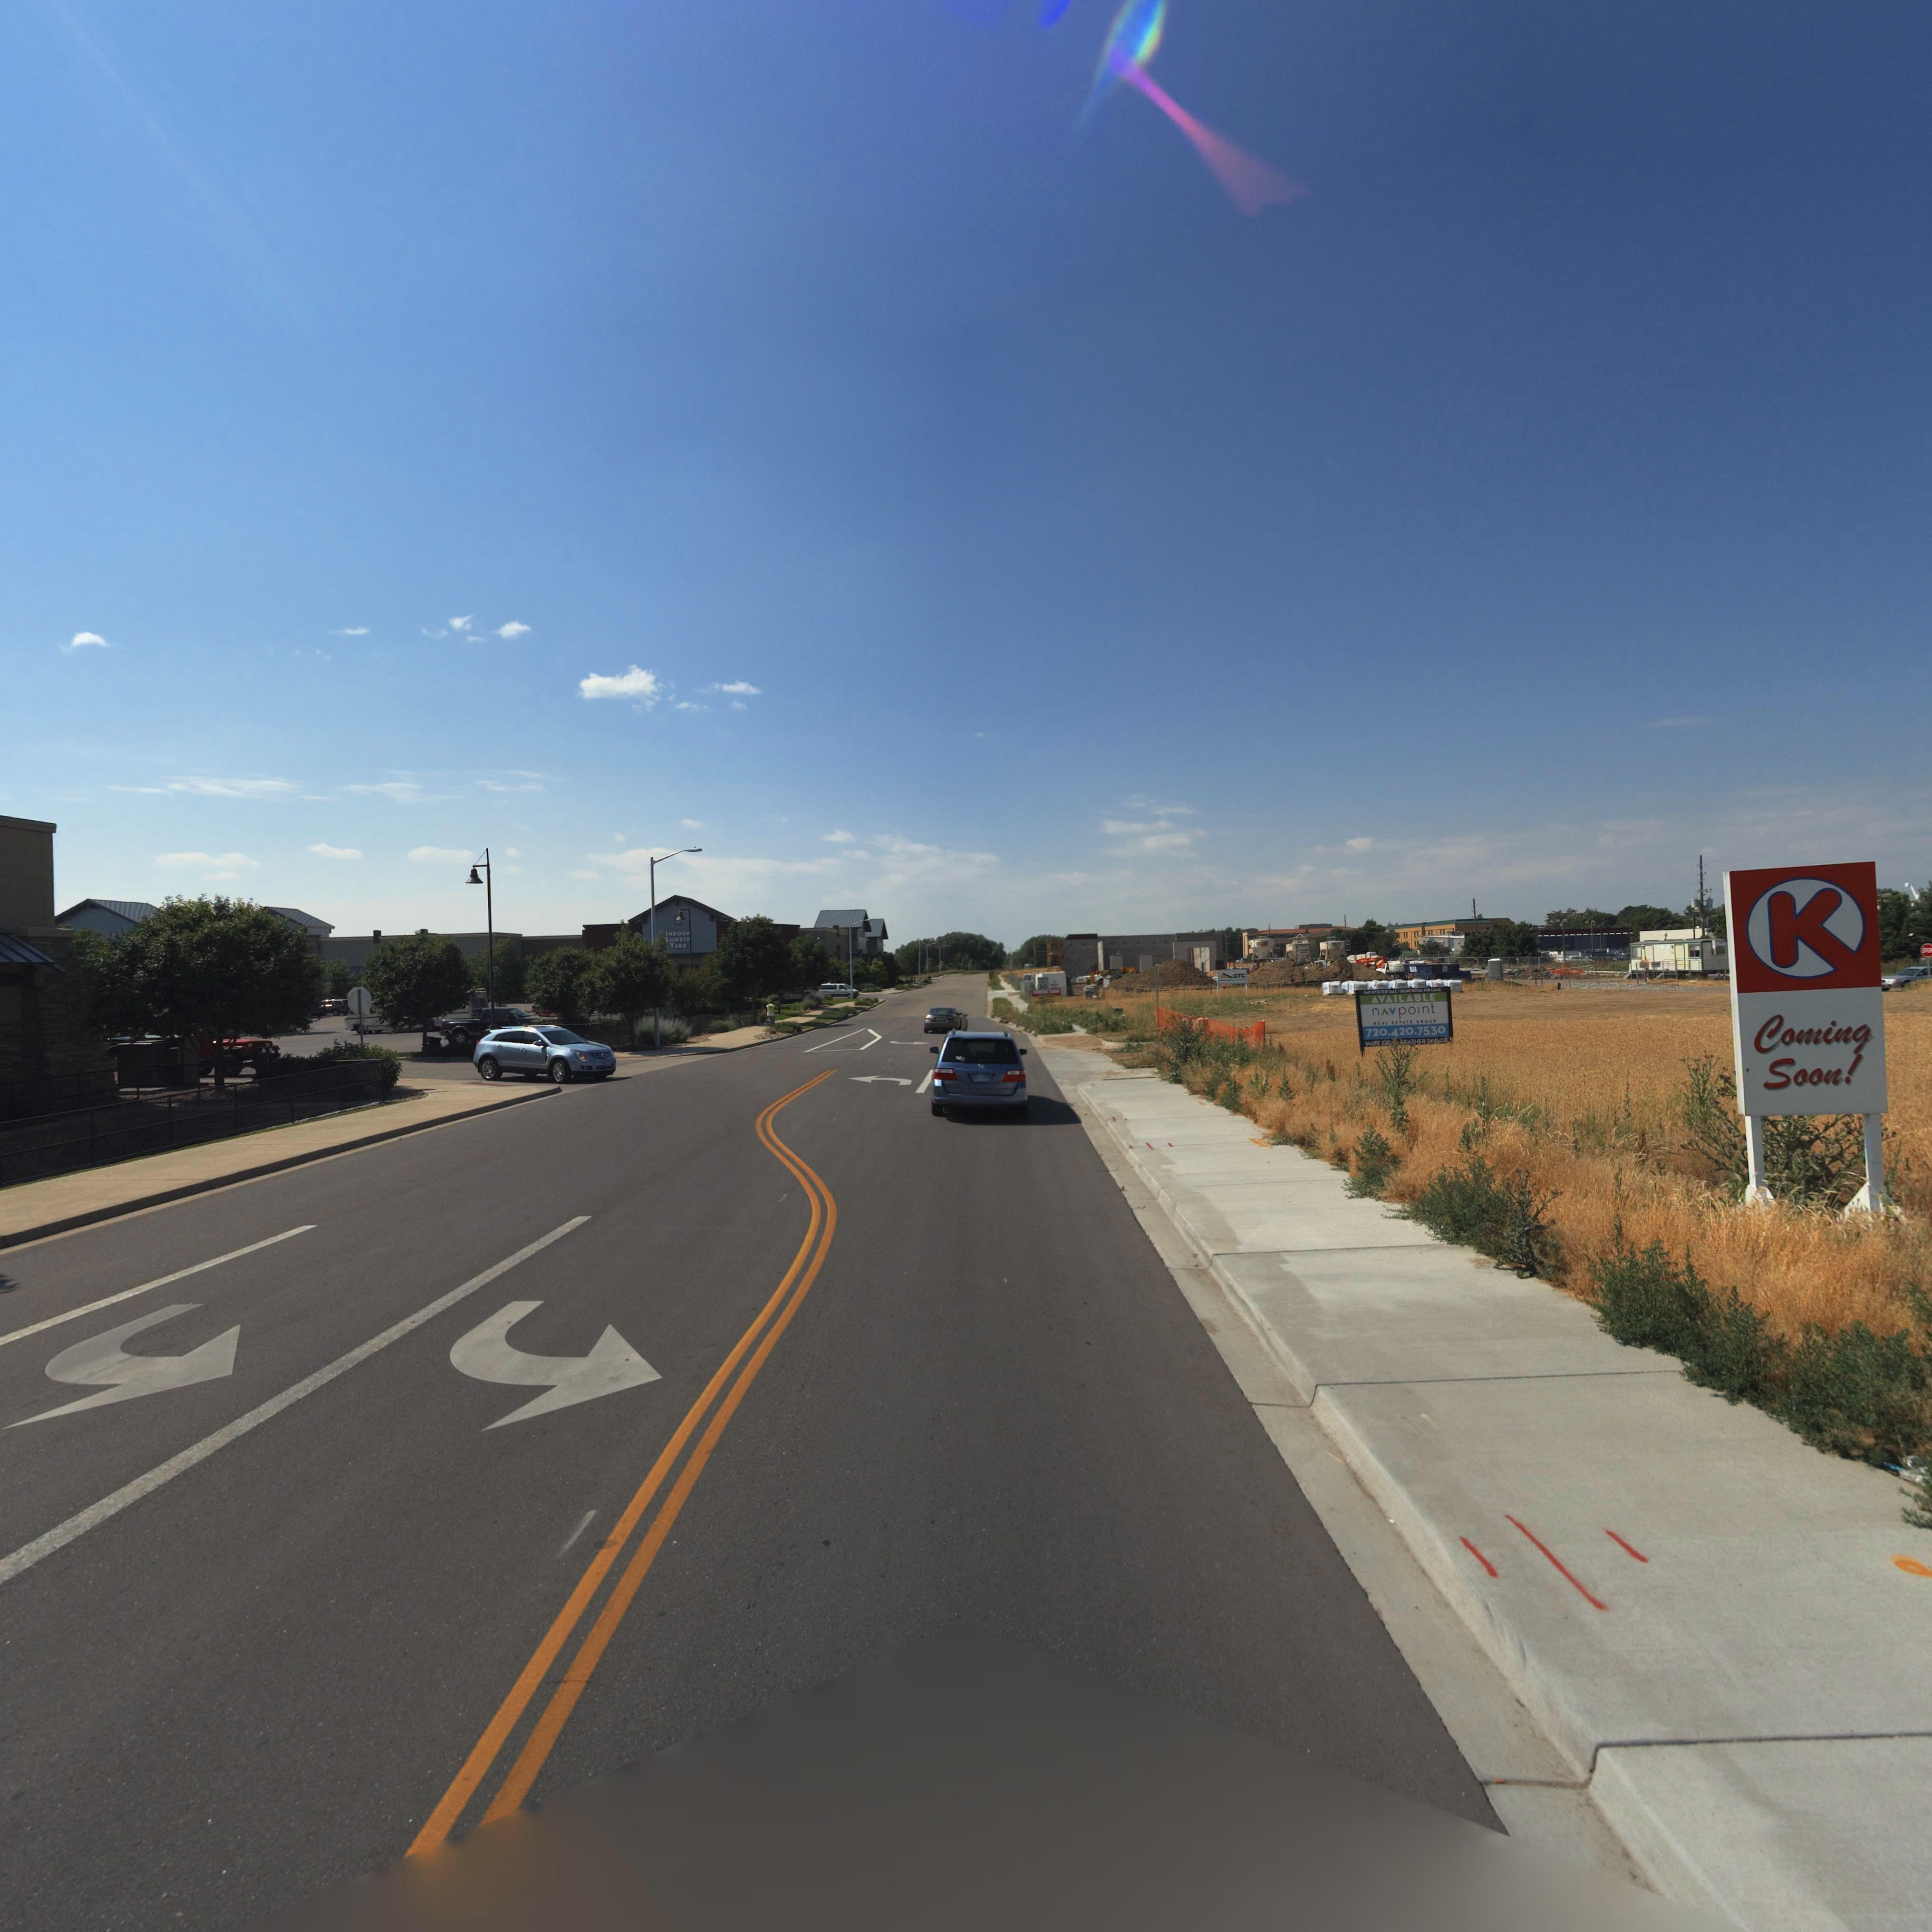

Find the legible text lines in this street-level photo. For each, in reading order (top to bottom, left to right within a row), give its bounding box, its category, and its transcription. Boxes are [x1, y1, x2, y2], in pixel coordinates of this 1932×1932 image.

[665, 930, 690, 936] BusinessName: INDOOR
[665, 936, 690, 942] BusinessName: LUMBER
[669, 942, 688, 948] BusinessName: YARD